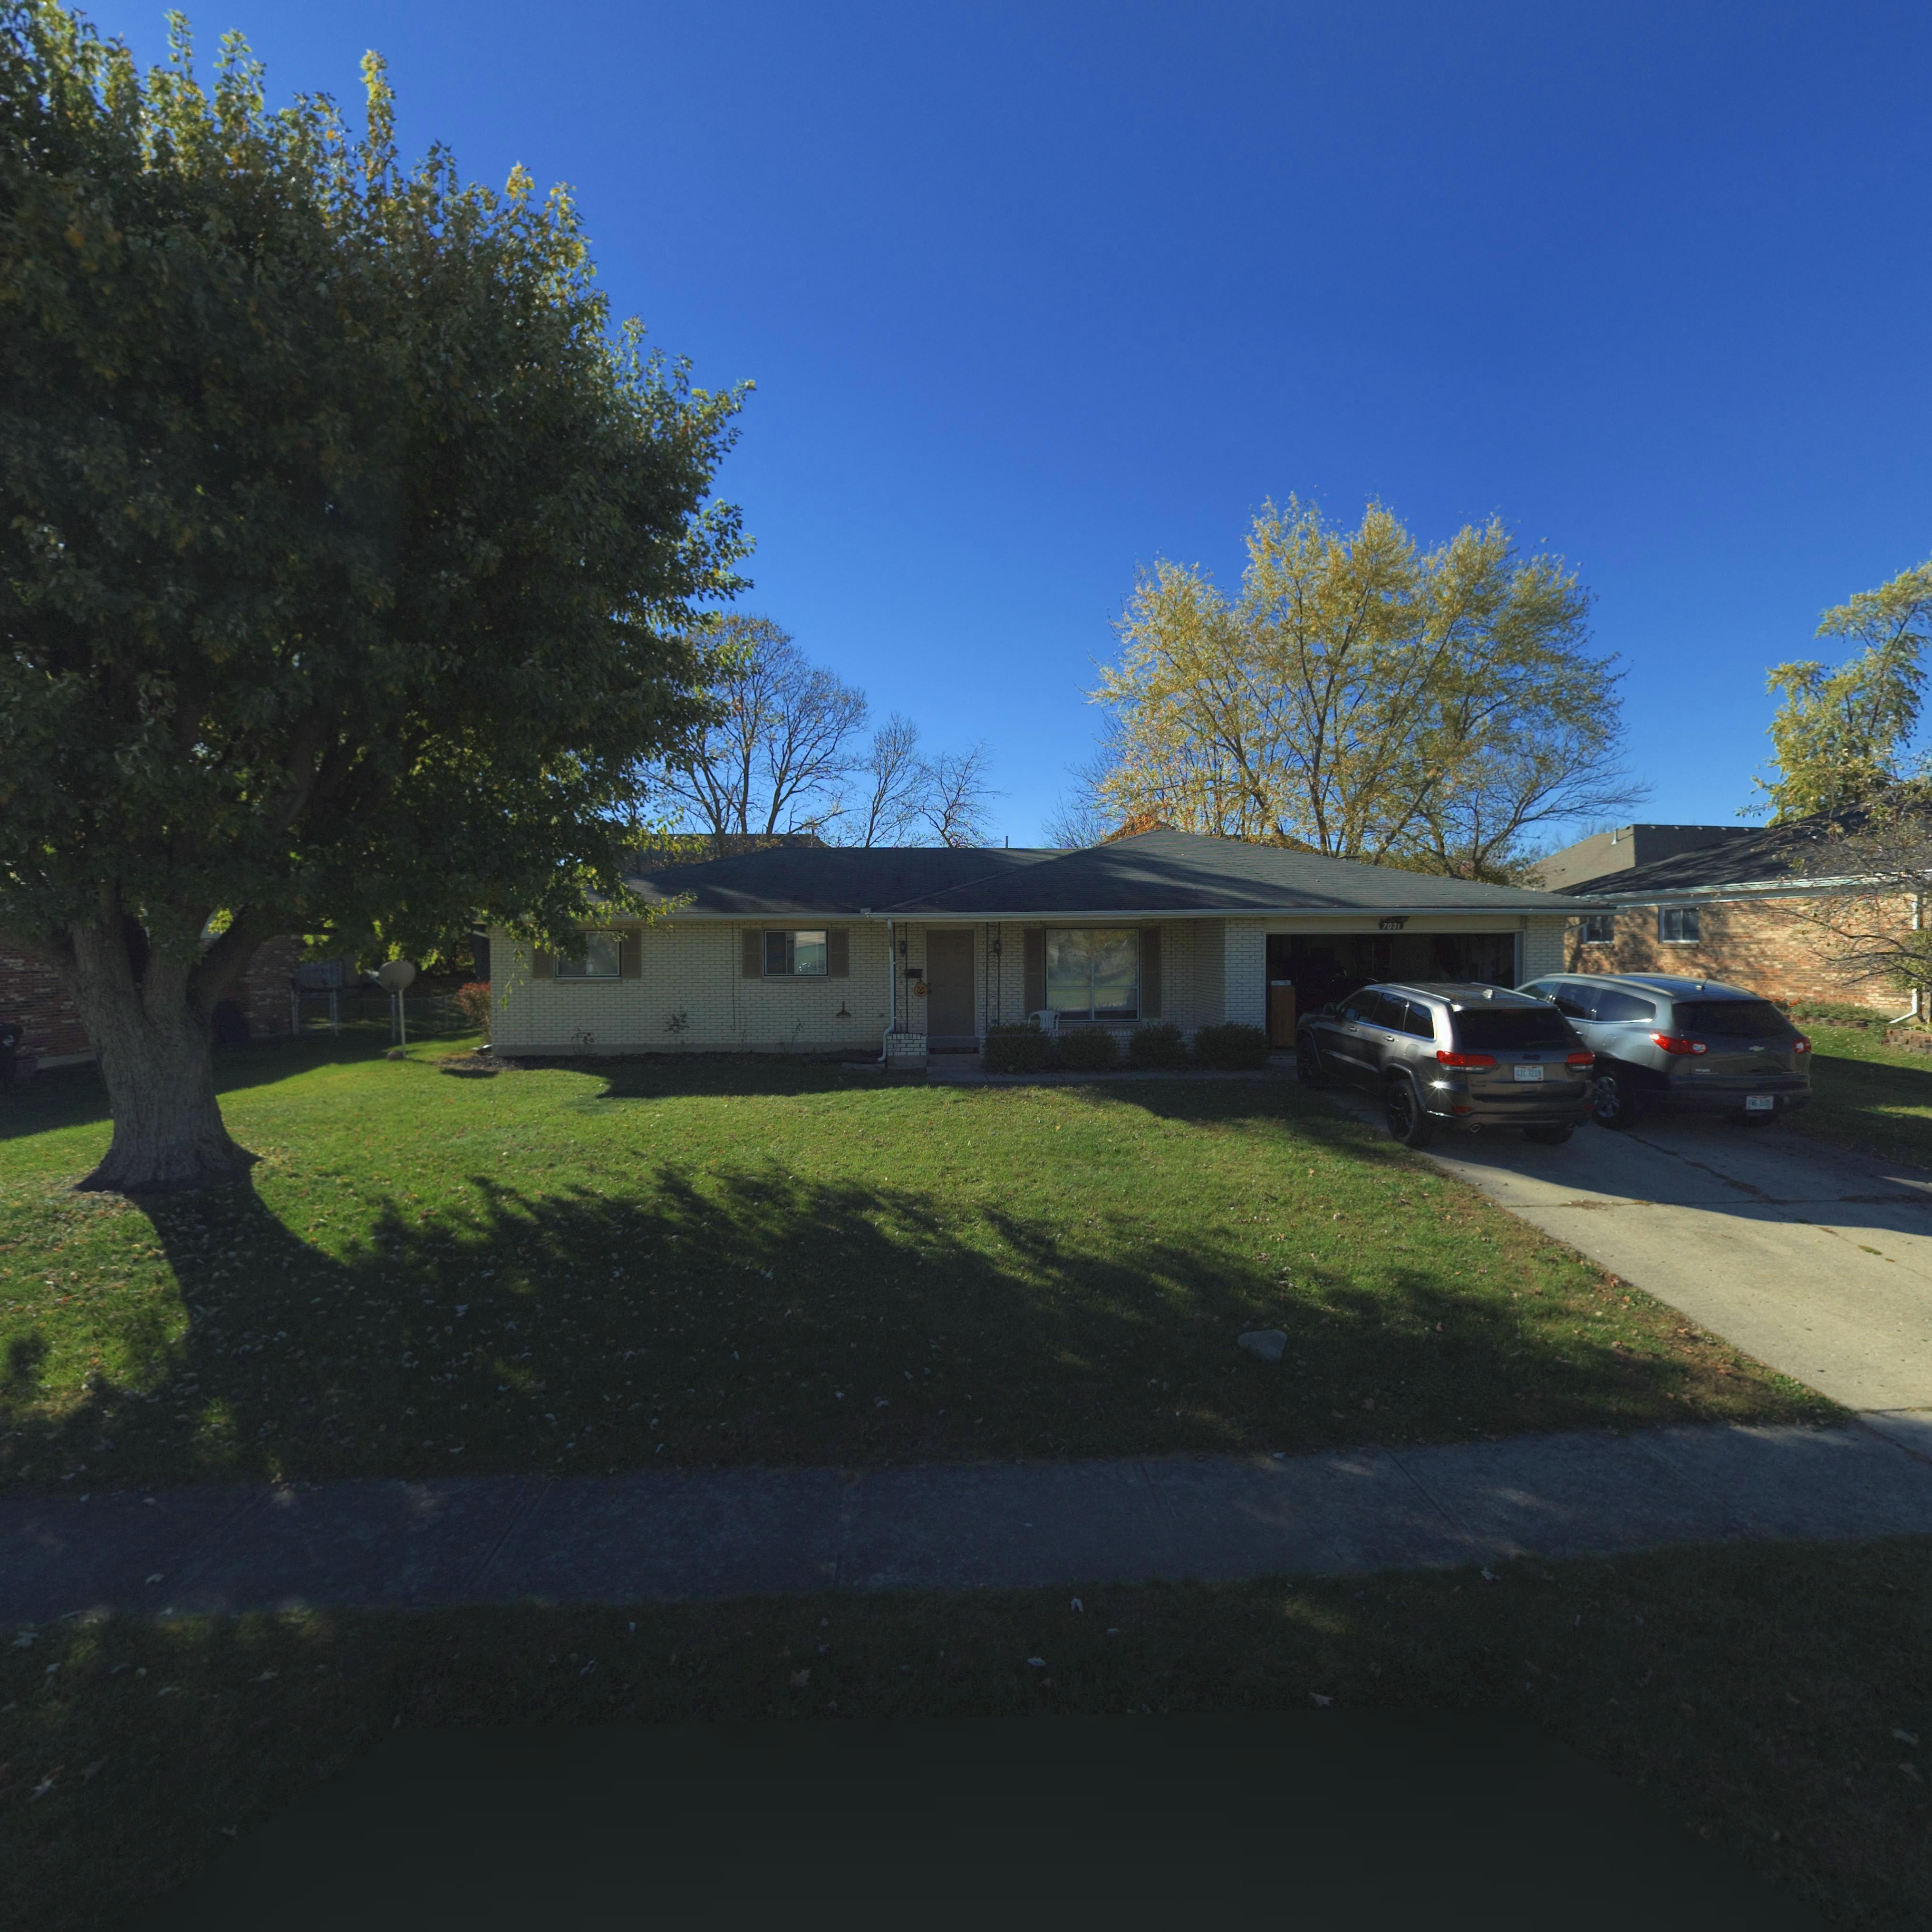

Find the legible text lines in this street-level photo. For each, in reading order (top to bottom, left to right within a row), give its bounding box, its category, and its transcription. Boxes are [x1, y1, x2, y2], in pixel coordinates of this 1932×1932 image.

[1382, 922, 1401, 930] StreetNumber: 7031